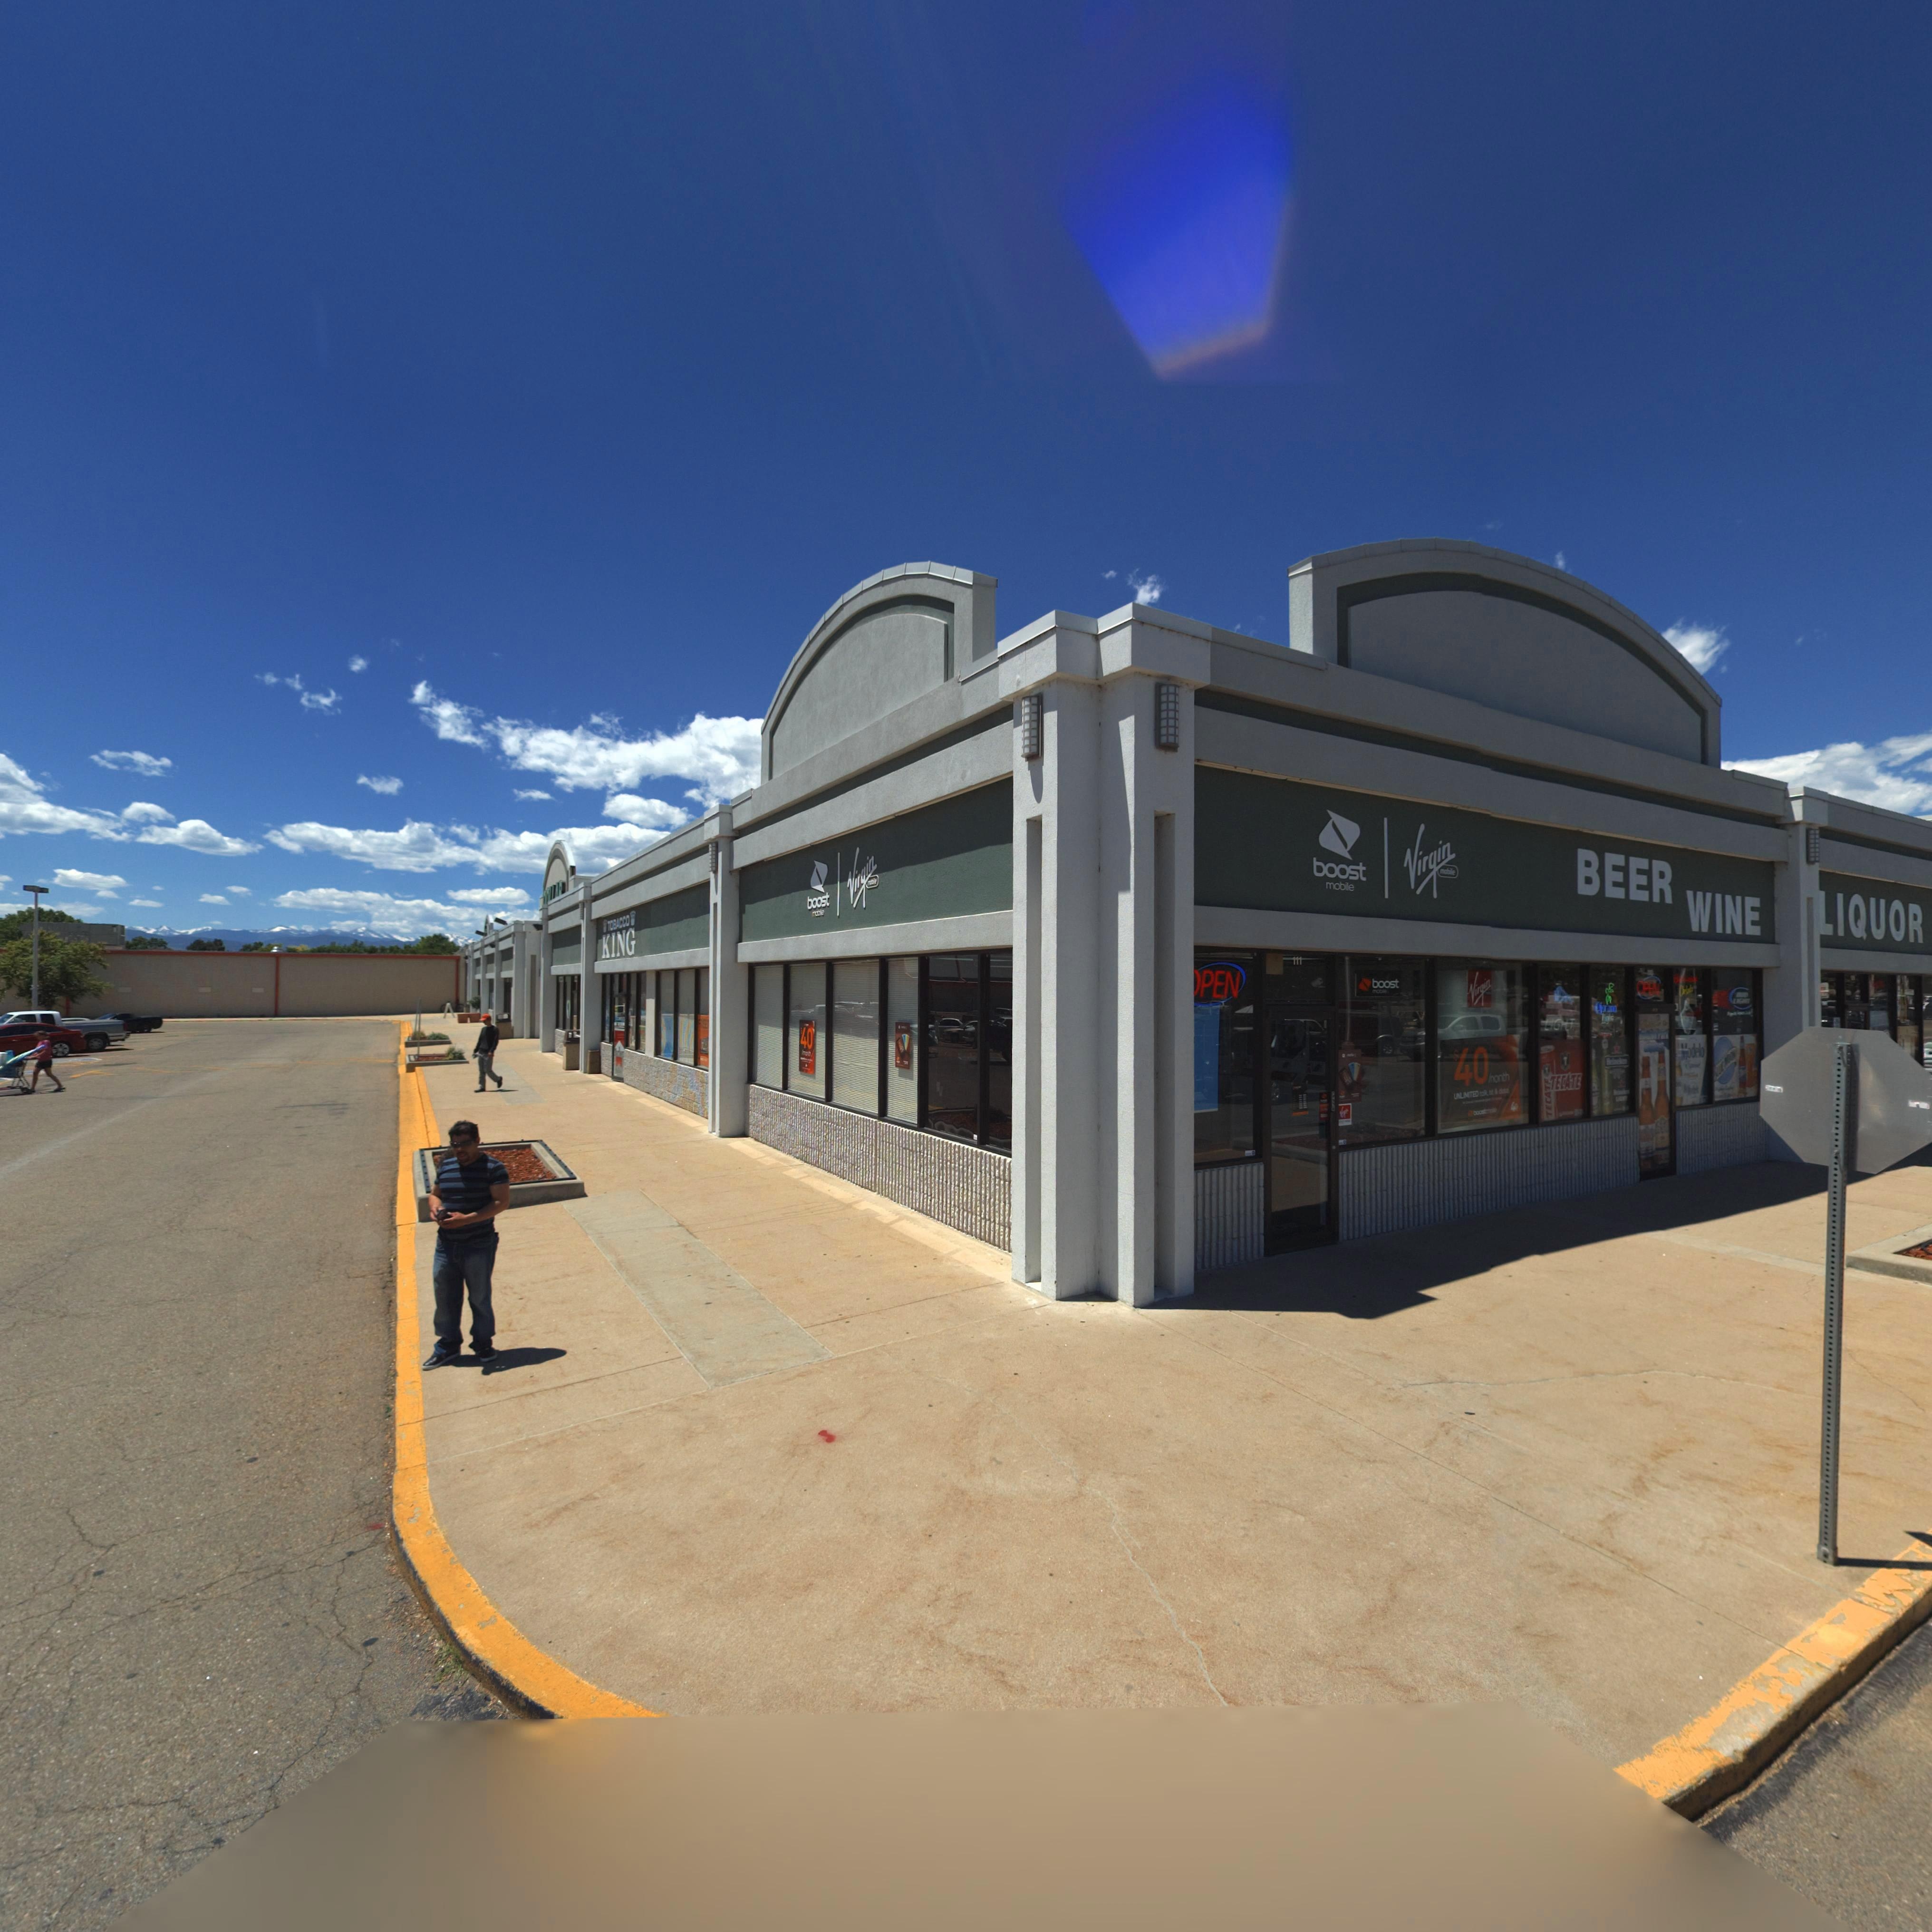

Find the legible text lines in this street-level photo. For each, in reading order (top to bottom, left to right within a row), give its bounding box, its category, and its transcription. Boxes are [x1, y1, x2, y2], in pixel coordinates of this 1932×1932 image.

[1402, 823, 1456, 898] BusinessName: Virgin
[1312, 856, 1366, 881] BusinessName: boost
[1439, 868, 1455, 875] BusinessName: mobile
[846, 846, 878, 909] BusinessName: Virgin
[867, 878, 877, 886] BusinessName: mobile
[1325, 881, 1355, 891] BusinessName: mobile
[807, 892, 830, 910] BusinessName: boost
[811, 908, 824, 917] BusinessName: mobile
[607, 914, 630, 931] BusinessName: TOBACCO
[601, 927, 636, 958] BusinessName: KING
[1292, 956, 1302, 965] StreetNumber: 111
[1372, 989, 1387, 994] BusinessName: mobile
[1372, 978, 1399, 988] BusinessName: boost
[1469, 971, 1491, 1006] BusinessName: Virgin
[1638, 1029, 1669, 1040] BusinessName: Horizon Park
[1339, 1106, 1349, 1118] BusinessName: Virgin
[1473, 1107, 1497, 1115] BusinessName: boost mobile